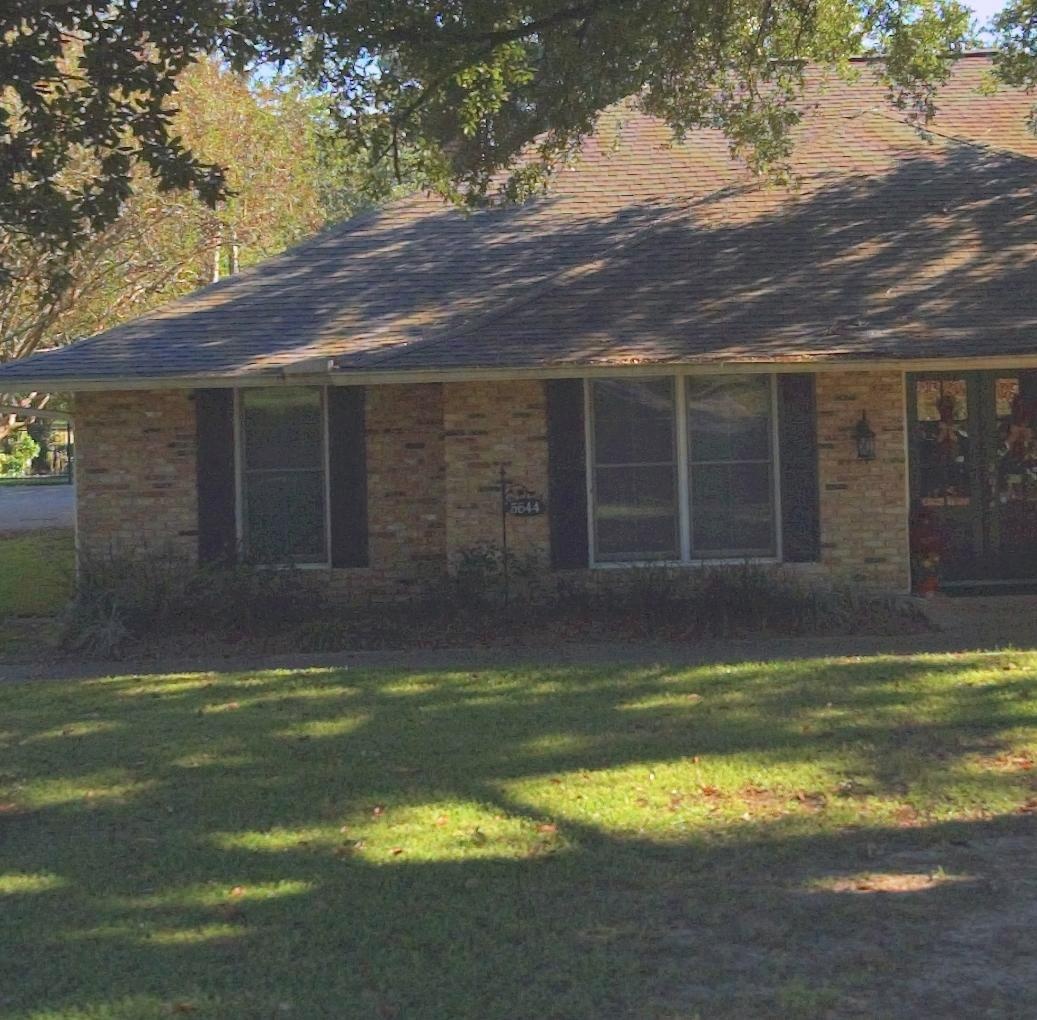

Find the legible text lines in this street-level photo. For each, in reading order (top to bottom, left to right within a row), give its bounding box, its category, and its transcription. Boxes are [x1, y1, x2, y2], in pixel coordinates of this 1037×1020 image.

[508, 499, 542, 516] StreetNumber: 5644